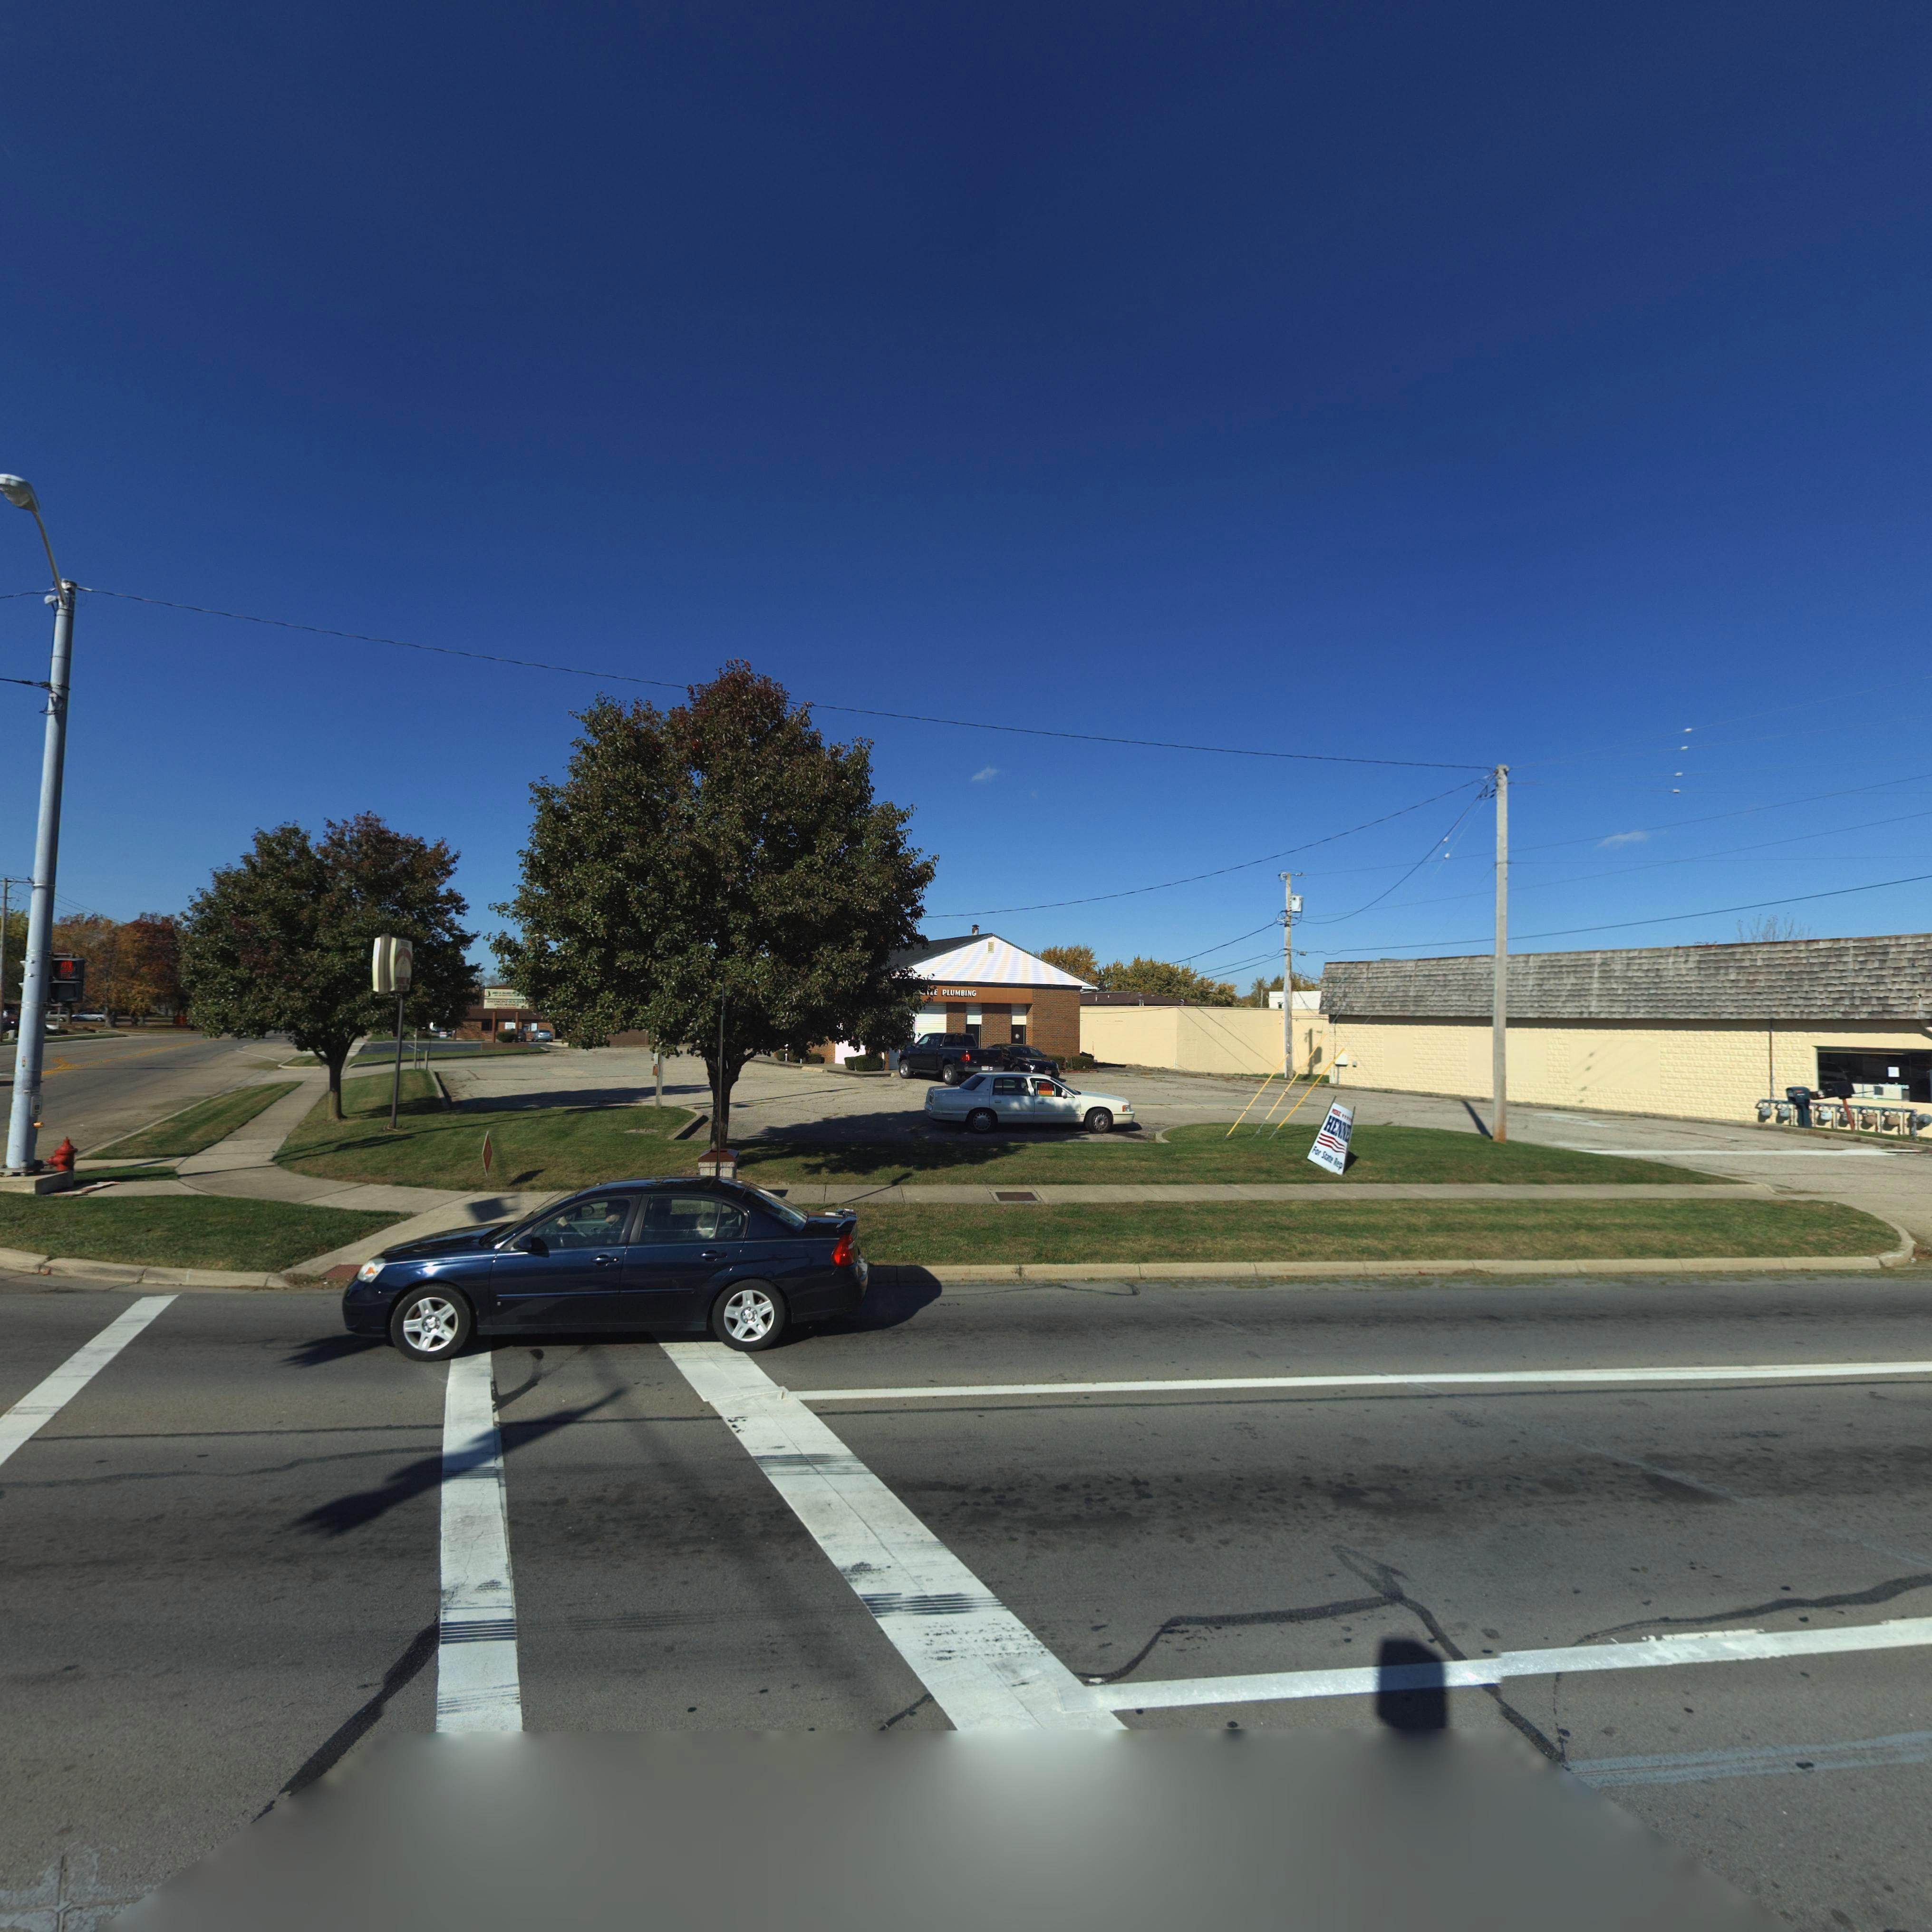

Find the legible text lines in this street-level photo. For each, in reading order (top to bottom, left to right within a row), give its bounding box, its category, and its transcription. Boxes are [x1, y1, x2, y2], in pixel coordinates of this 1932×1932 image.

[400, 940, 409, 948] StreetNumber: 7**1
[941, 989, 977, 997] BusinessName: PLUMBING